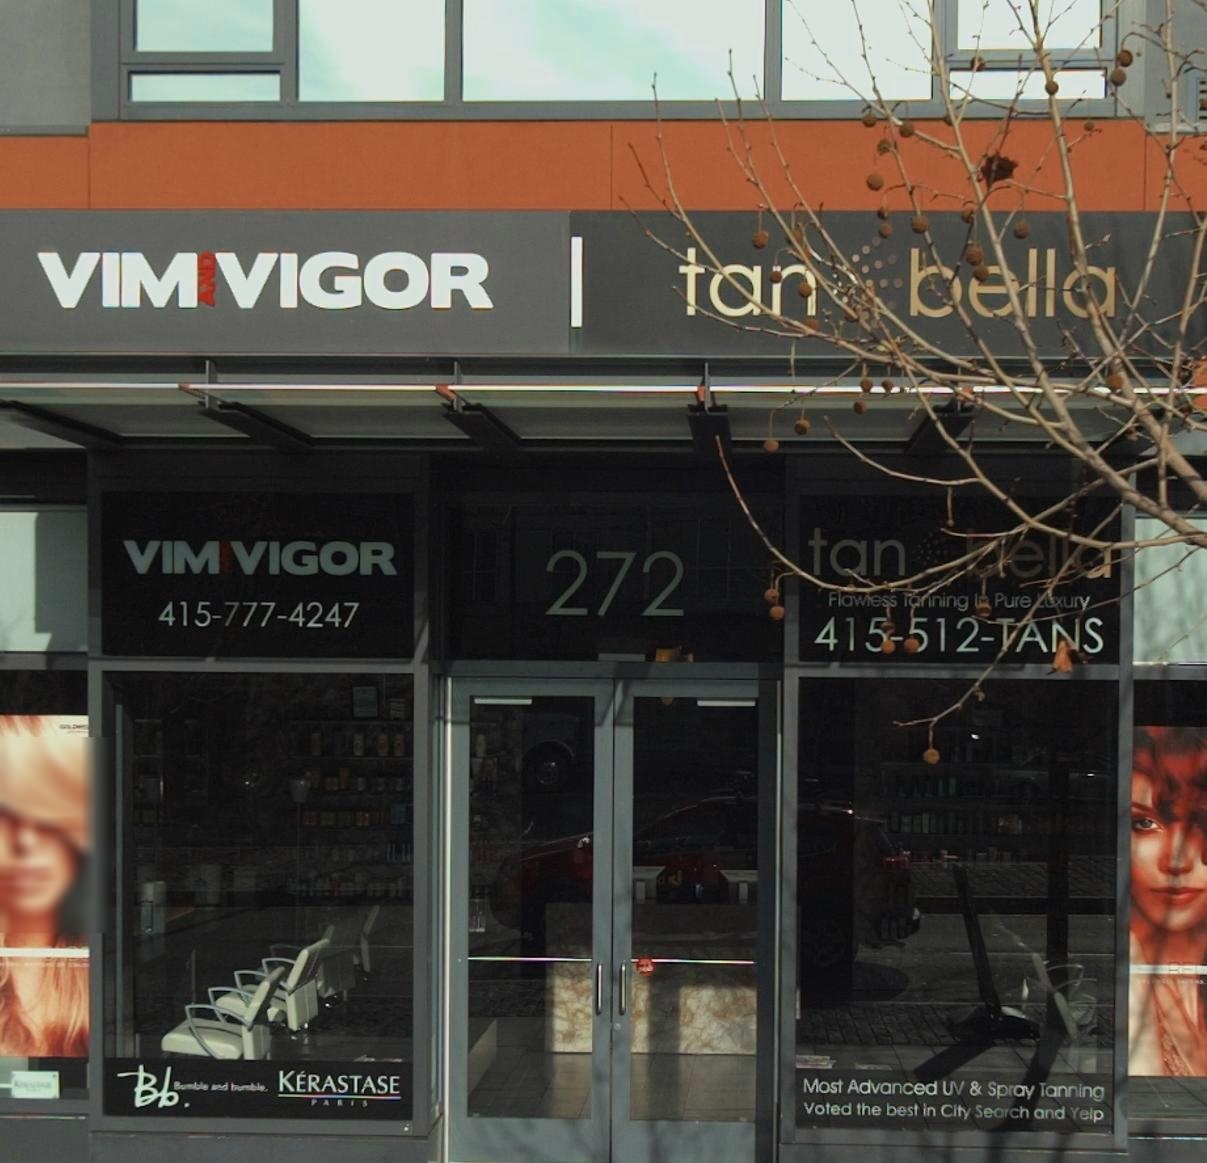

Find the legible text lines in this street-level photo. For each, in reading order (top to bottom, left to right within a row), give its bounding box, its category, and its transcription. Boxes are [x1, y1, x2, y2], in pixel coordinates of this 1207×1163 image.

[32, 248, 200, 312] BusinessName: VIM
[197, 248, 218, 309] BusinessName: AND
[210, 247, 501, 315] BusinessName: VIGOR
[1025, 244, 1058, 320] BusinessName: ll
[119, 537, 402, 579] BusinessName: VIM*VIGOR
[804, 523, 910, 581] BusinessName: tan
[1006, 530, 1058, 580] BusinessName: el
[154, 598, 364, 631] None: 415-77-4247
[541, 546, 687, 621] StreetNumber: 272
[825, 589, 1092, 613] None: Flaw*ess ***ning I* Pure **xury
[807, 610, 1110, 658] None: 41*-*12-*A*S
[131, 1060, 182, 1112] None: Bb
[308, 1096, 371, 1109] None: PA*I*
[276, 1067, 404, 1099] None: KERASTASE
[799, 1075, 1107, 1105] None: Most Advanced UV & Spray Tanning
[799, 1099, 1107, 1126] None: Voted the best in City Search and Yelp